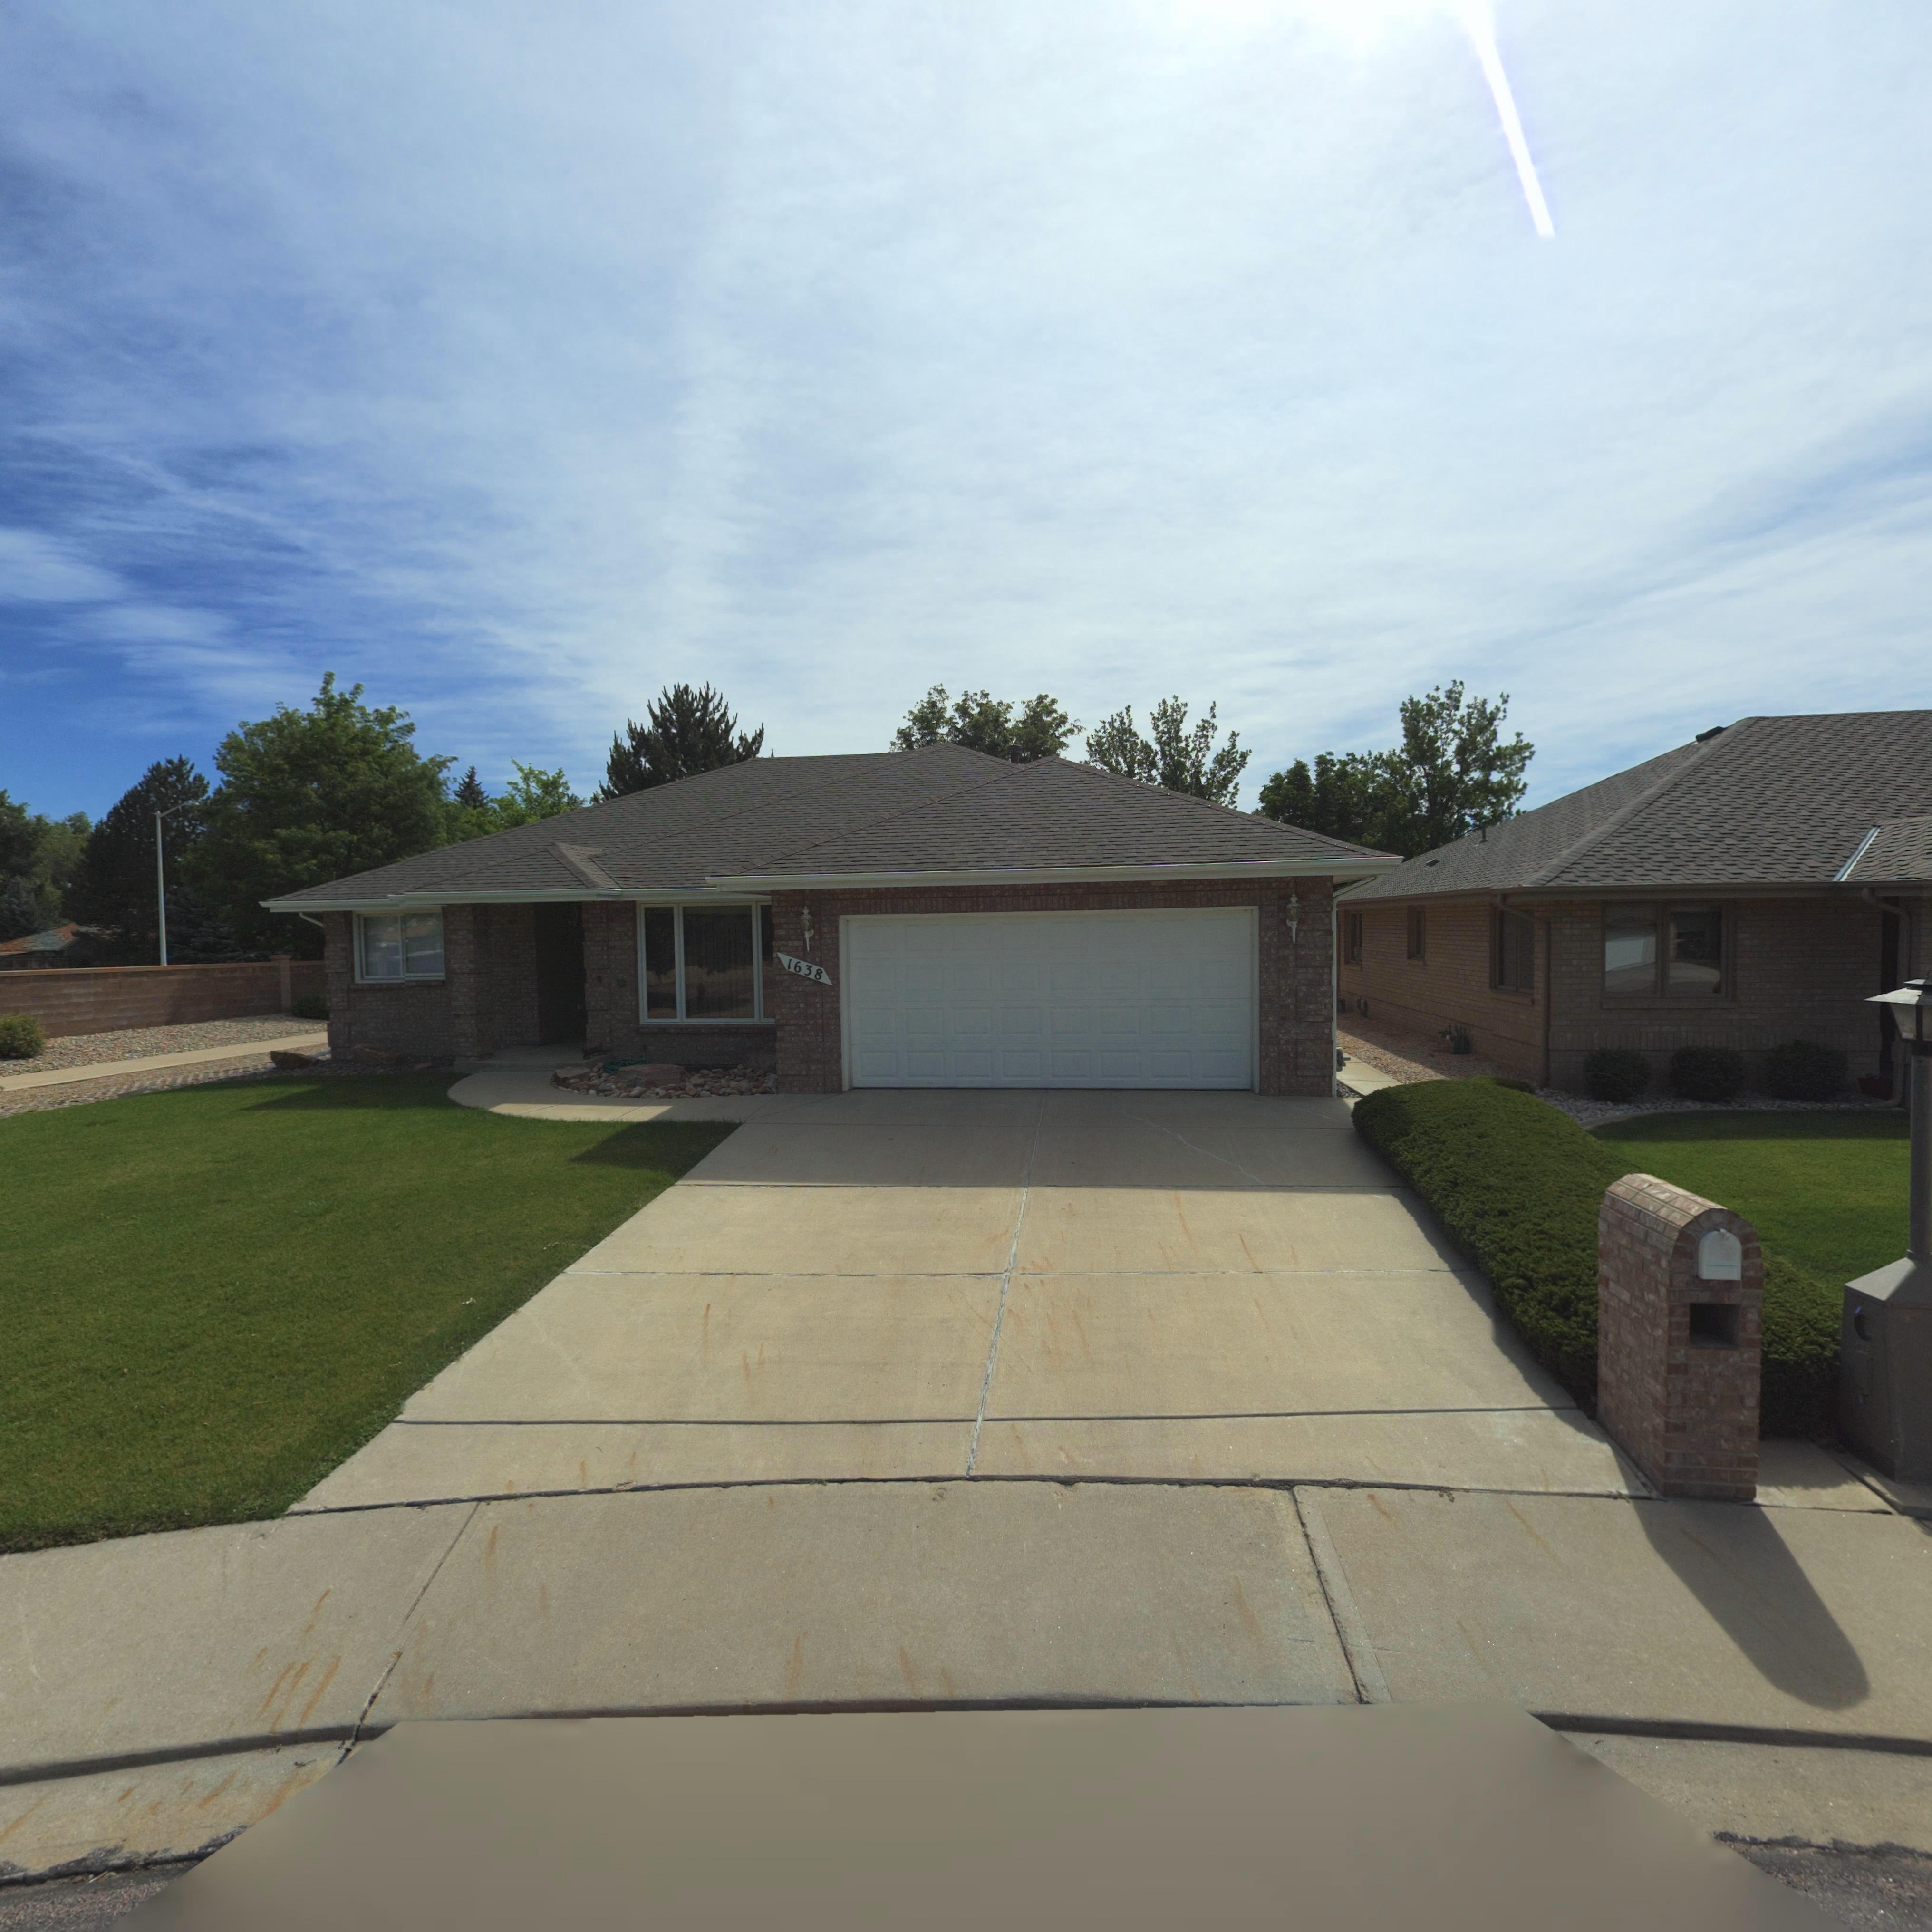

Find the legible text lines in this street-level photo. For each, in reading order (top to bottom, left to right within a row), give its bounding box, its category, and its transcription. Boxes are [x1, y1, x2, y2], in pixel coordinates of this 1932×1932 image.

[787, 958, 823, 980] StreetNumber: 1638*